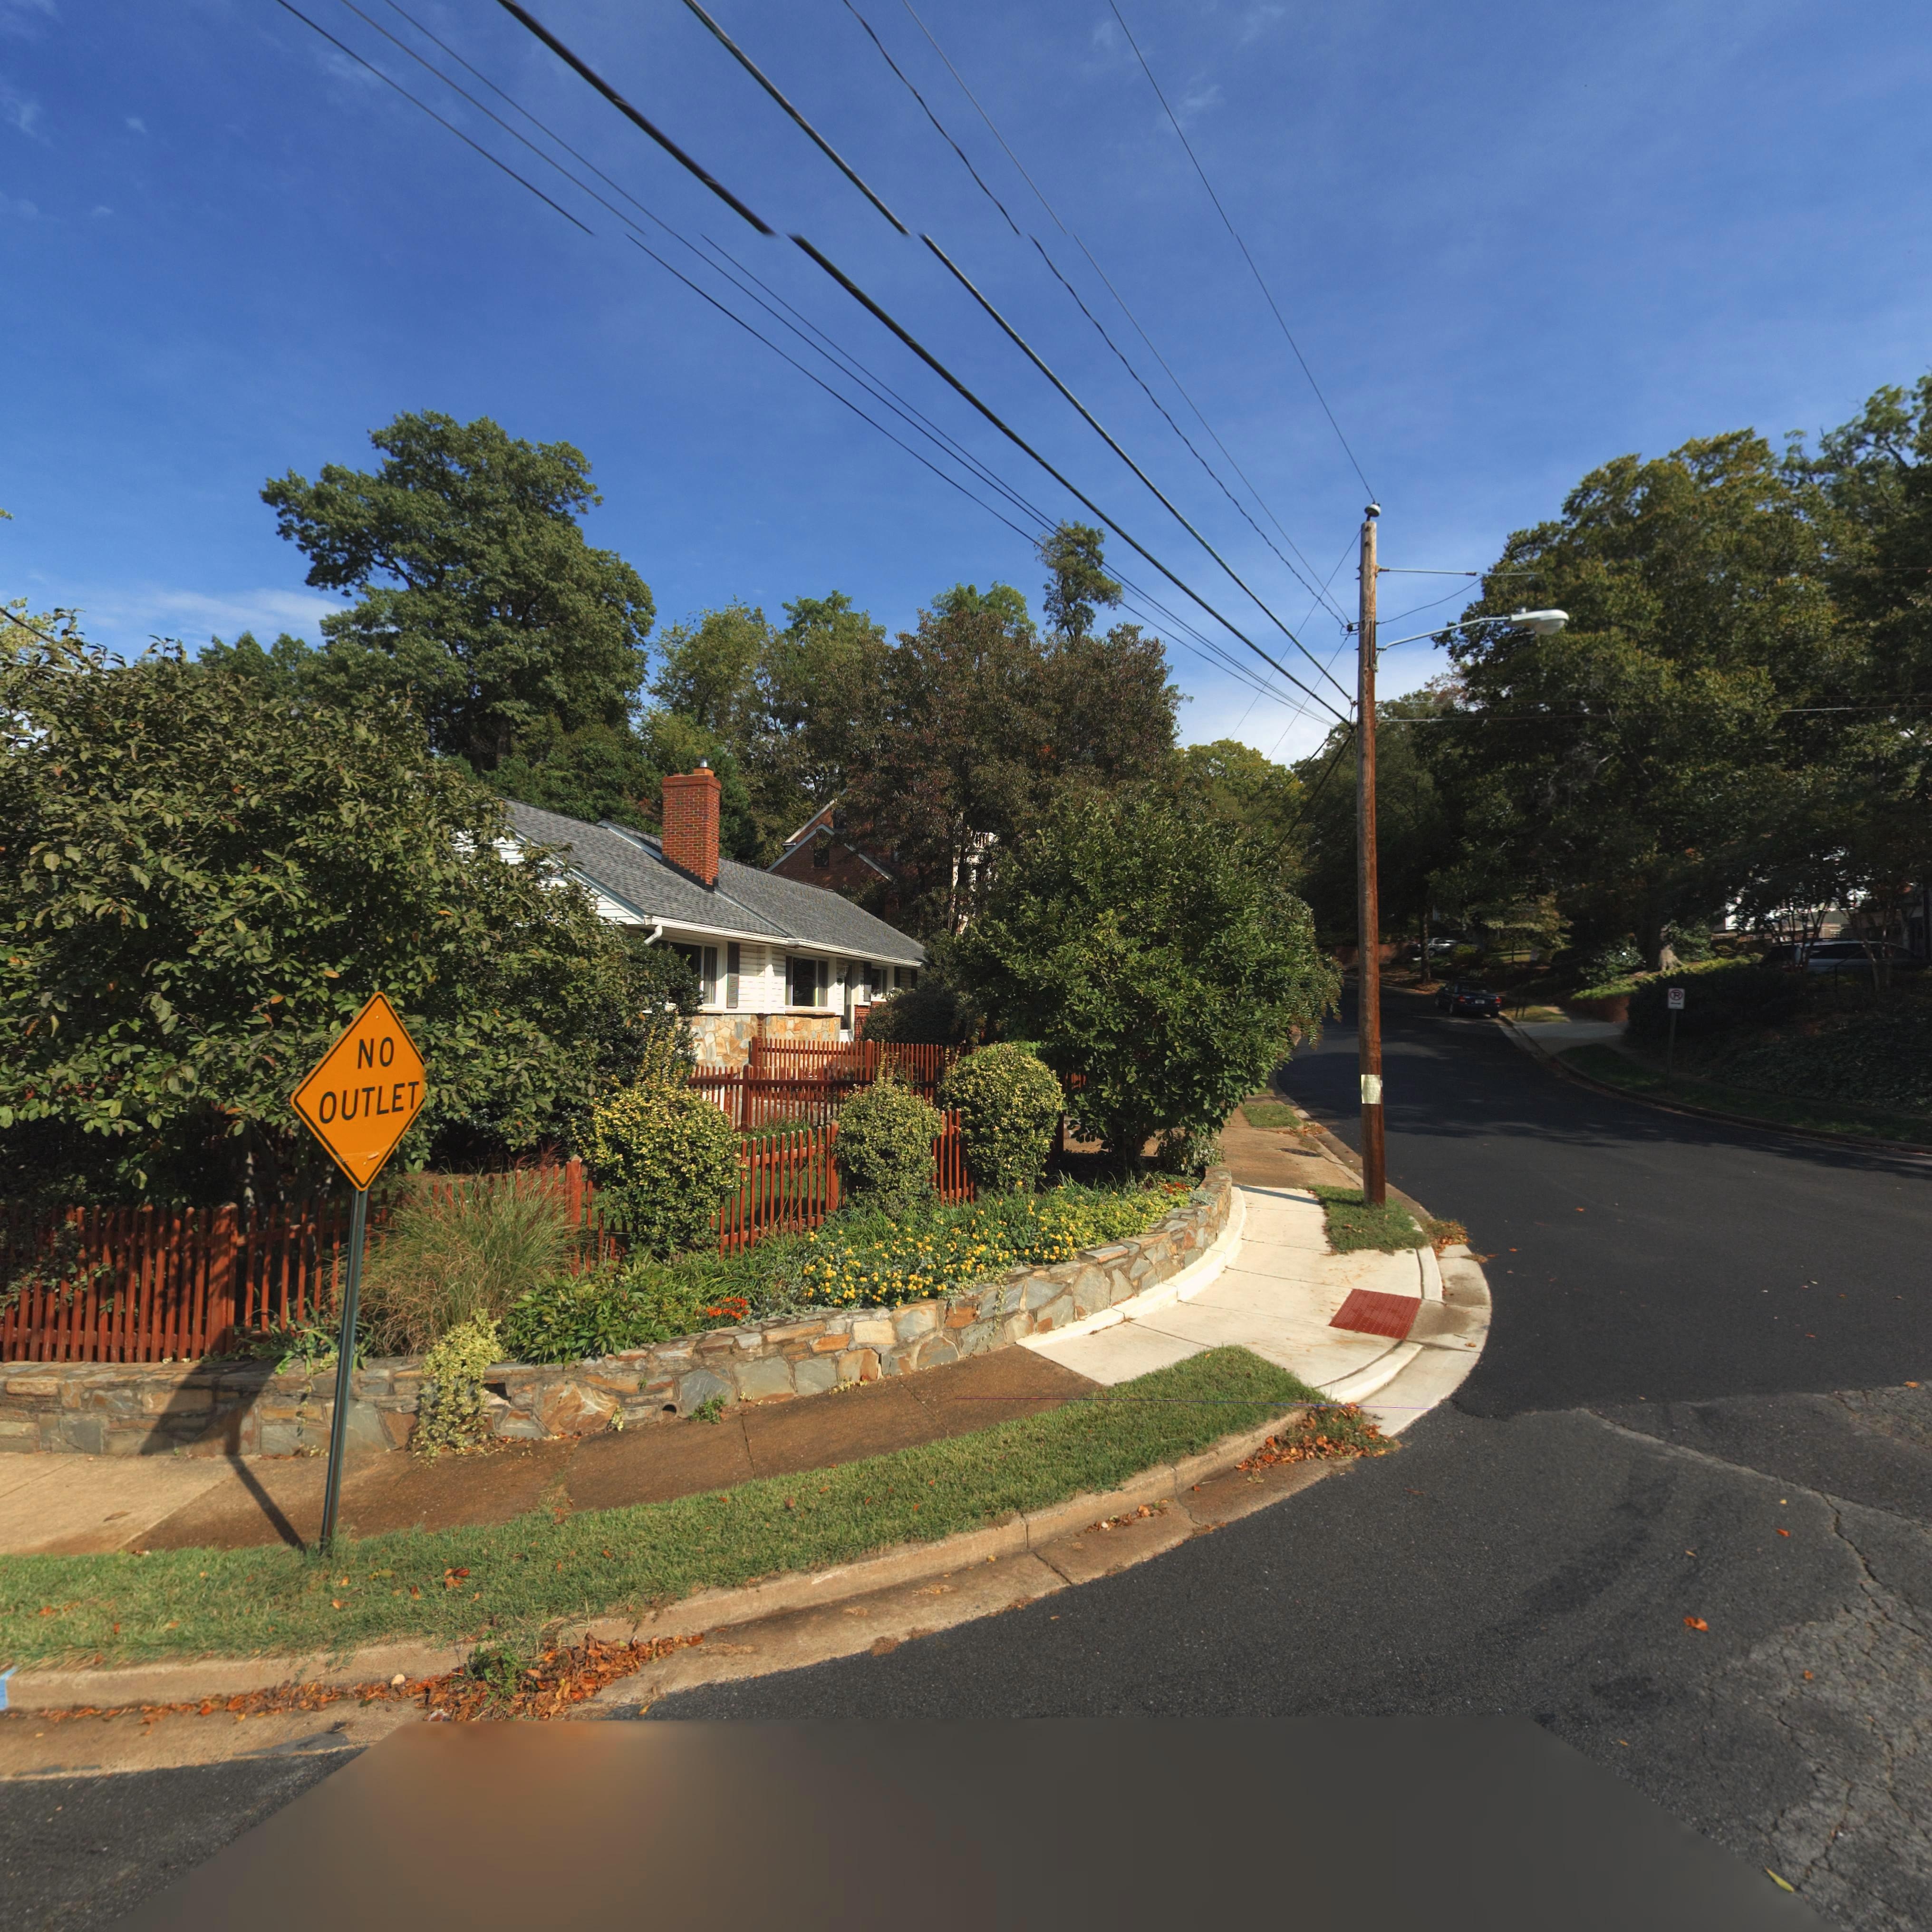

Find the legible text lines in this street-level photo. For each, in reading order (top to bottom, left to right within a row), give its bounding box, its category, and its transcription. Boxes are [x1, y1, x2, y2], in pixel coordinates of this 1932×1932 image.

[355, 1034, 396, 1072] None: NO
[316, 1079, 422, 1126] None: OUTLET